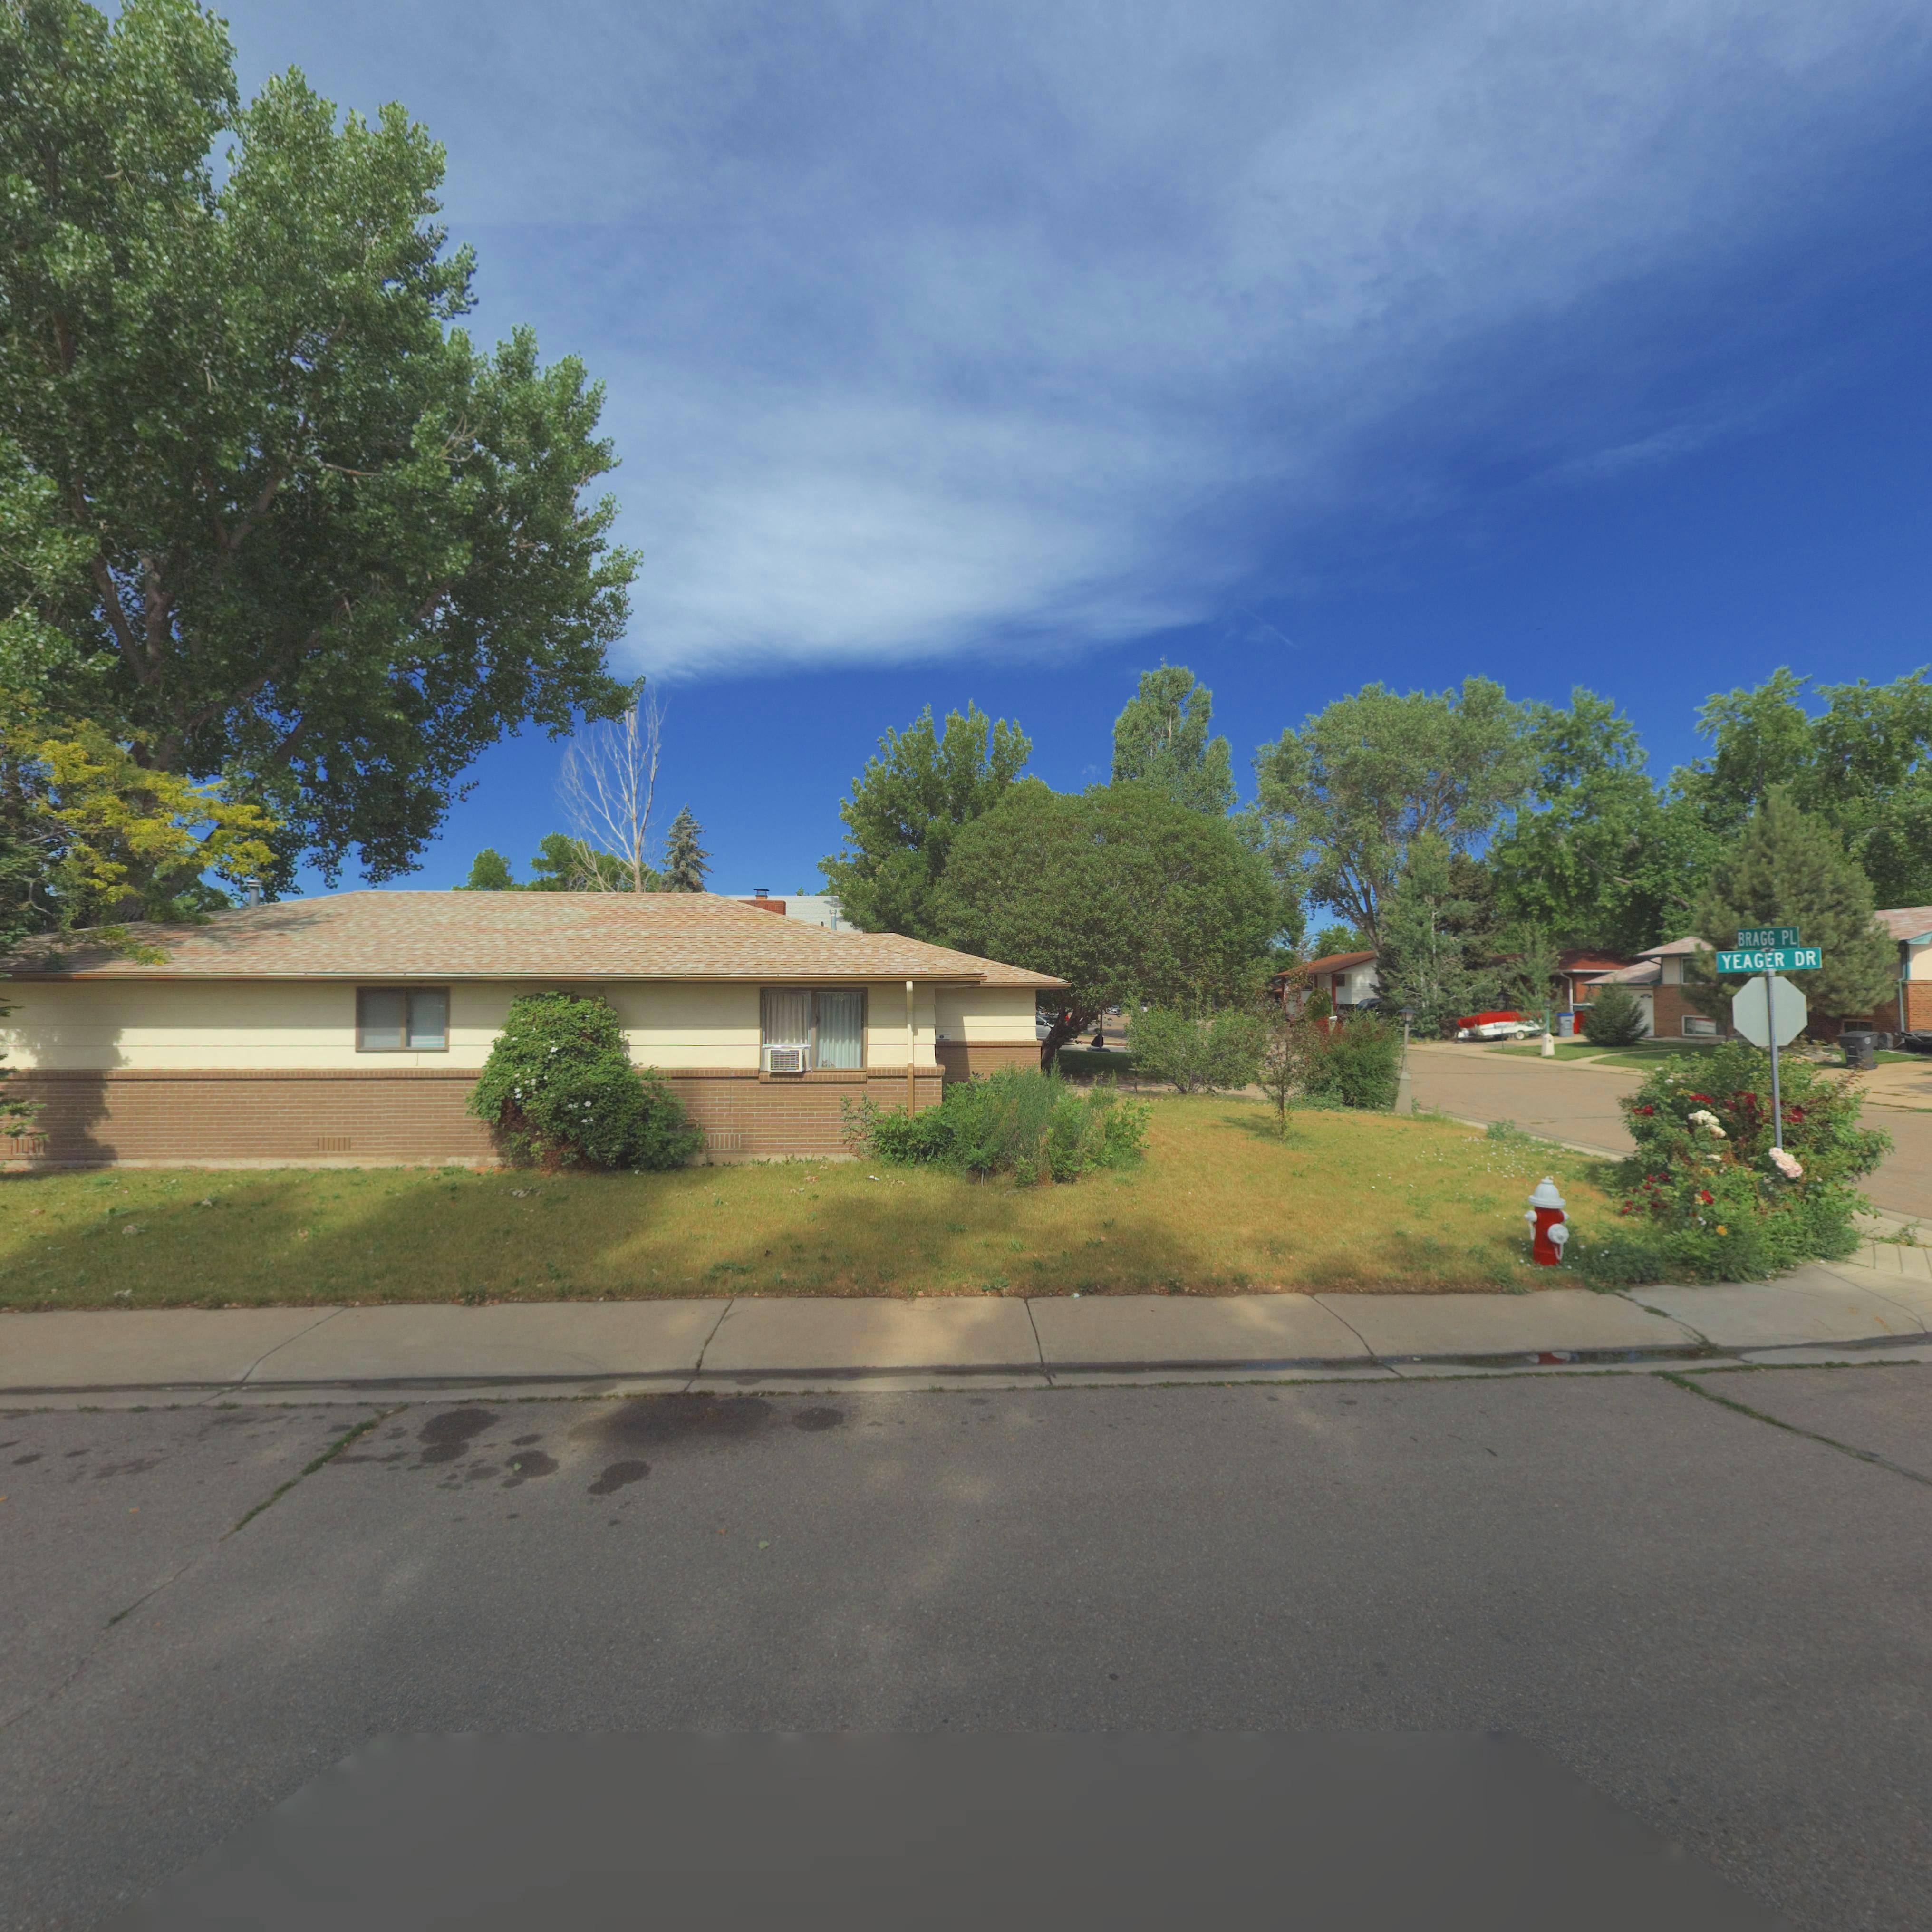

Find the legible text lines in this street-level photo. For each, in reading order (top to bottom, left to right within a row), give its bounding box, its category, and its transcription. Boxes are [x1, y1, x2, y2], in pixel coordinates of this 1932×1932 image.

[1737, 930, 1797, 946] StreetName: BRAGG PL
[1720, 950, 1816, 969] StreetName: YEAGER DR